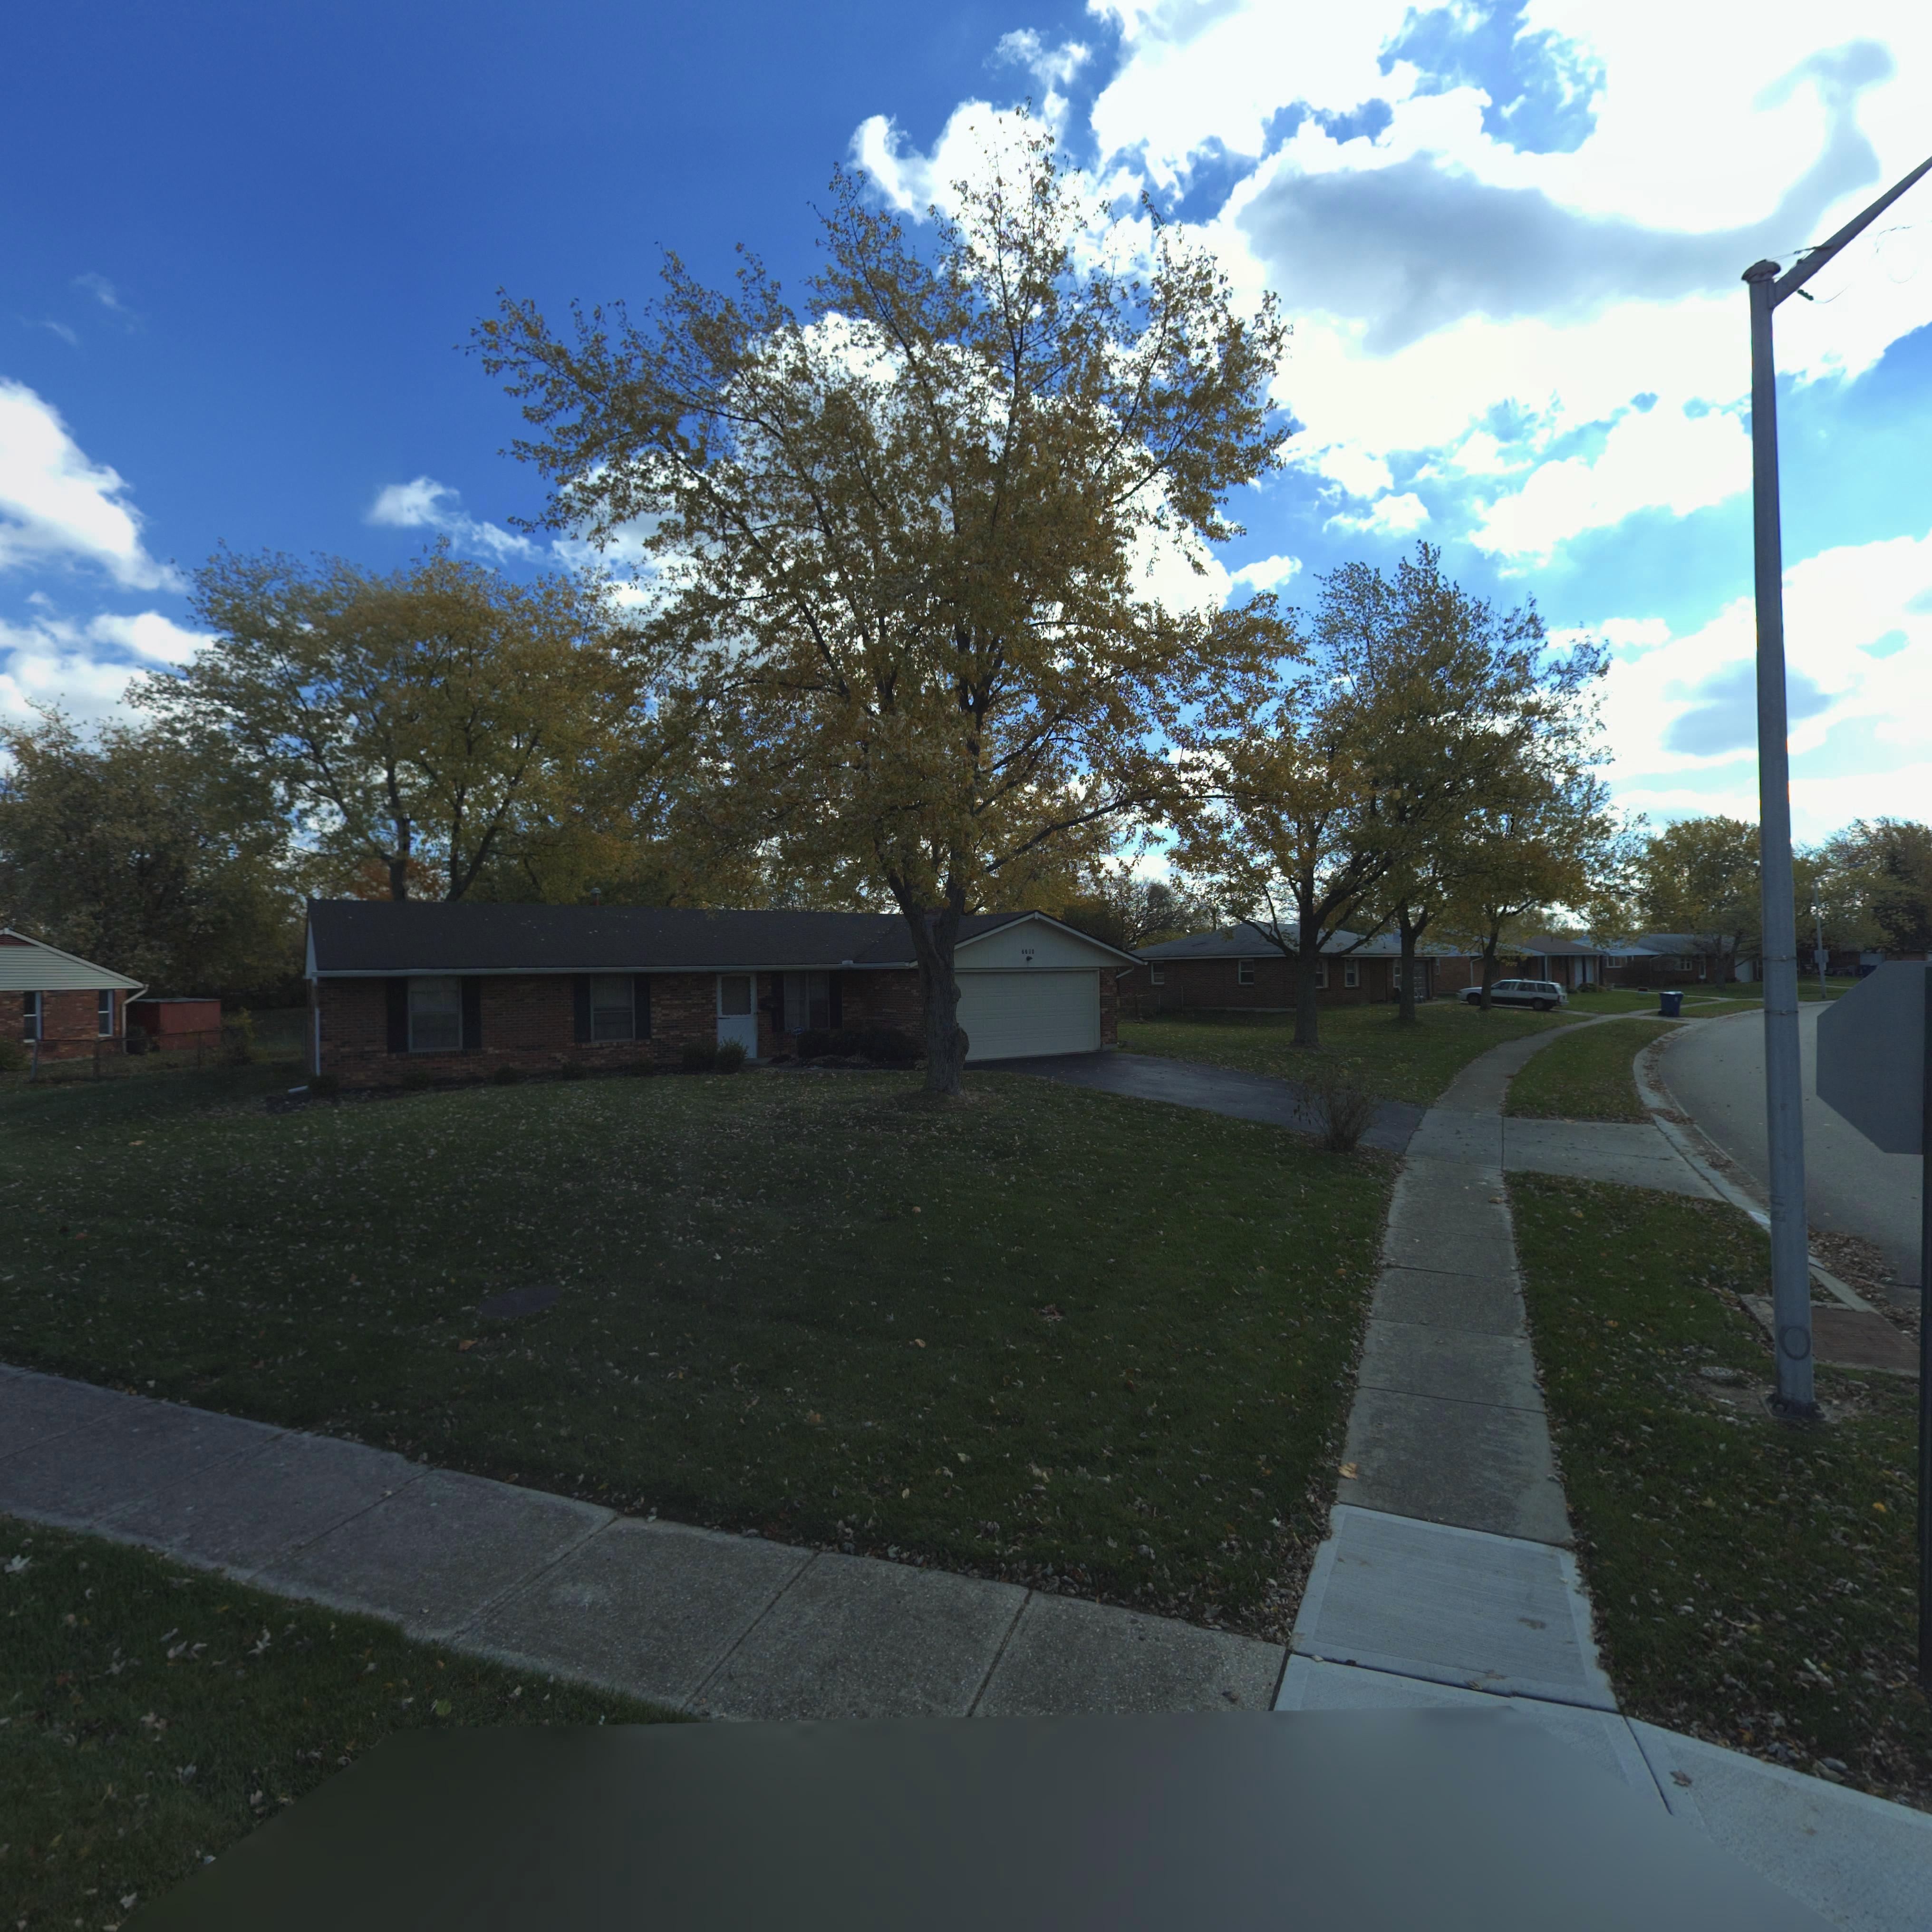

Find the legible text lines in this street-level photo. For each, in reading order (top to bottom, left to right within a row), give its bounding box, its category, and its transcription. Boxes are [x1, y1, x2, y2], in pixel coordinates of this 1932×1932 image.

[1022, 948, 1034, 954] StreetNumber: 7**1